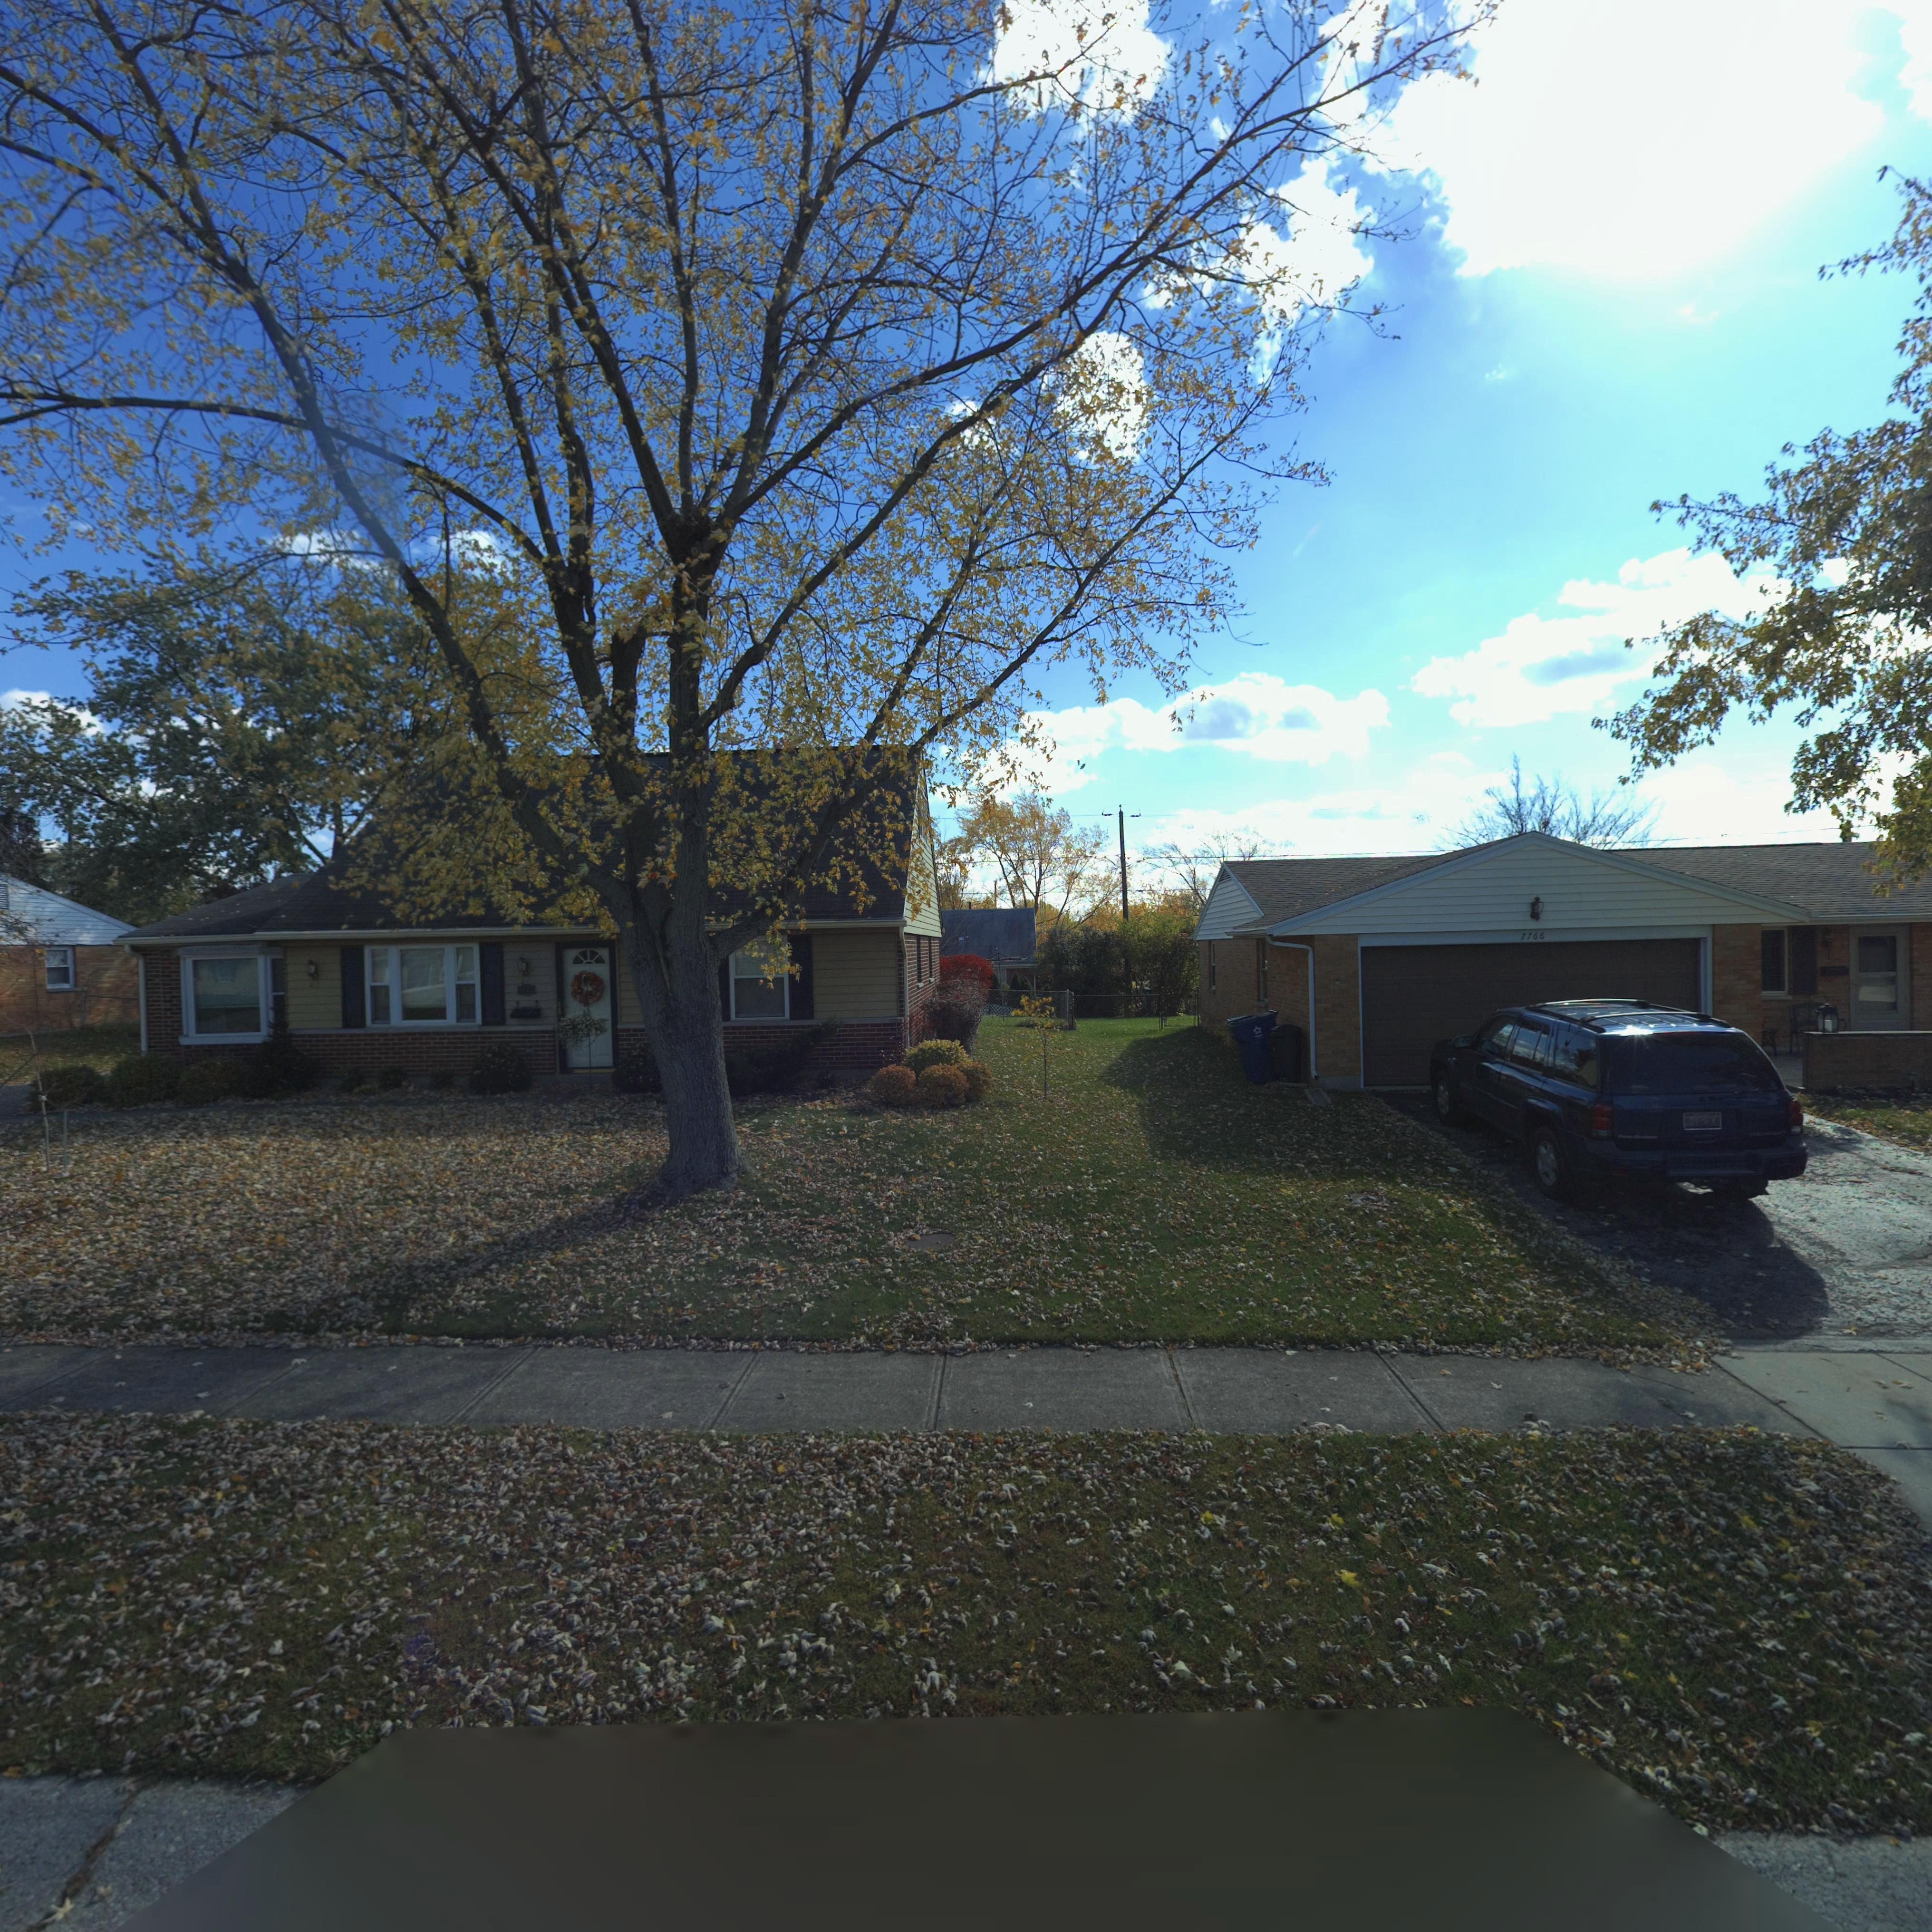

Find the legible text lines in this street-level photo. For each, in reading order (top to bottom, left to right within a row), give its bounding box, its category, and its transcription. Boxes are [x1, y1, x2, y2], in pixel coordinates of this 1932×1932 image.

[1520, 931, 1546, 941] StreetNumber: 7766
[518, 985, 535, 994] StreetNumber: *7**